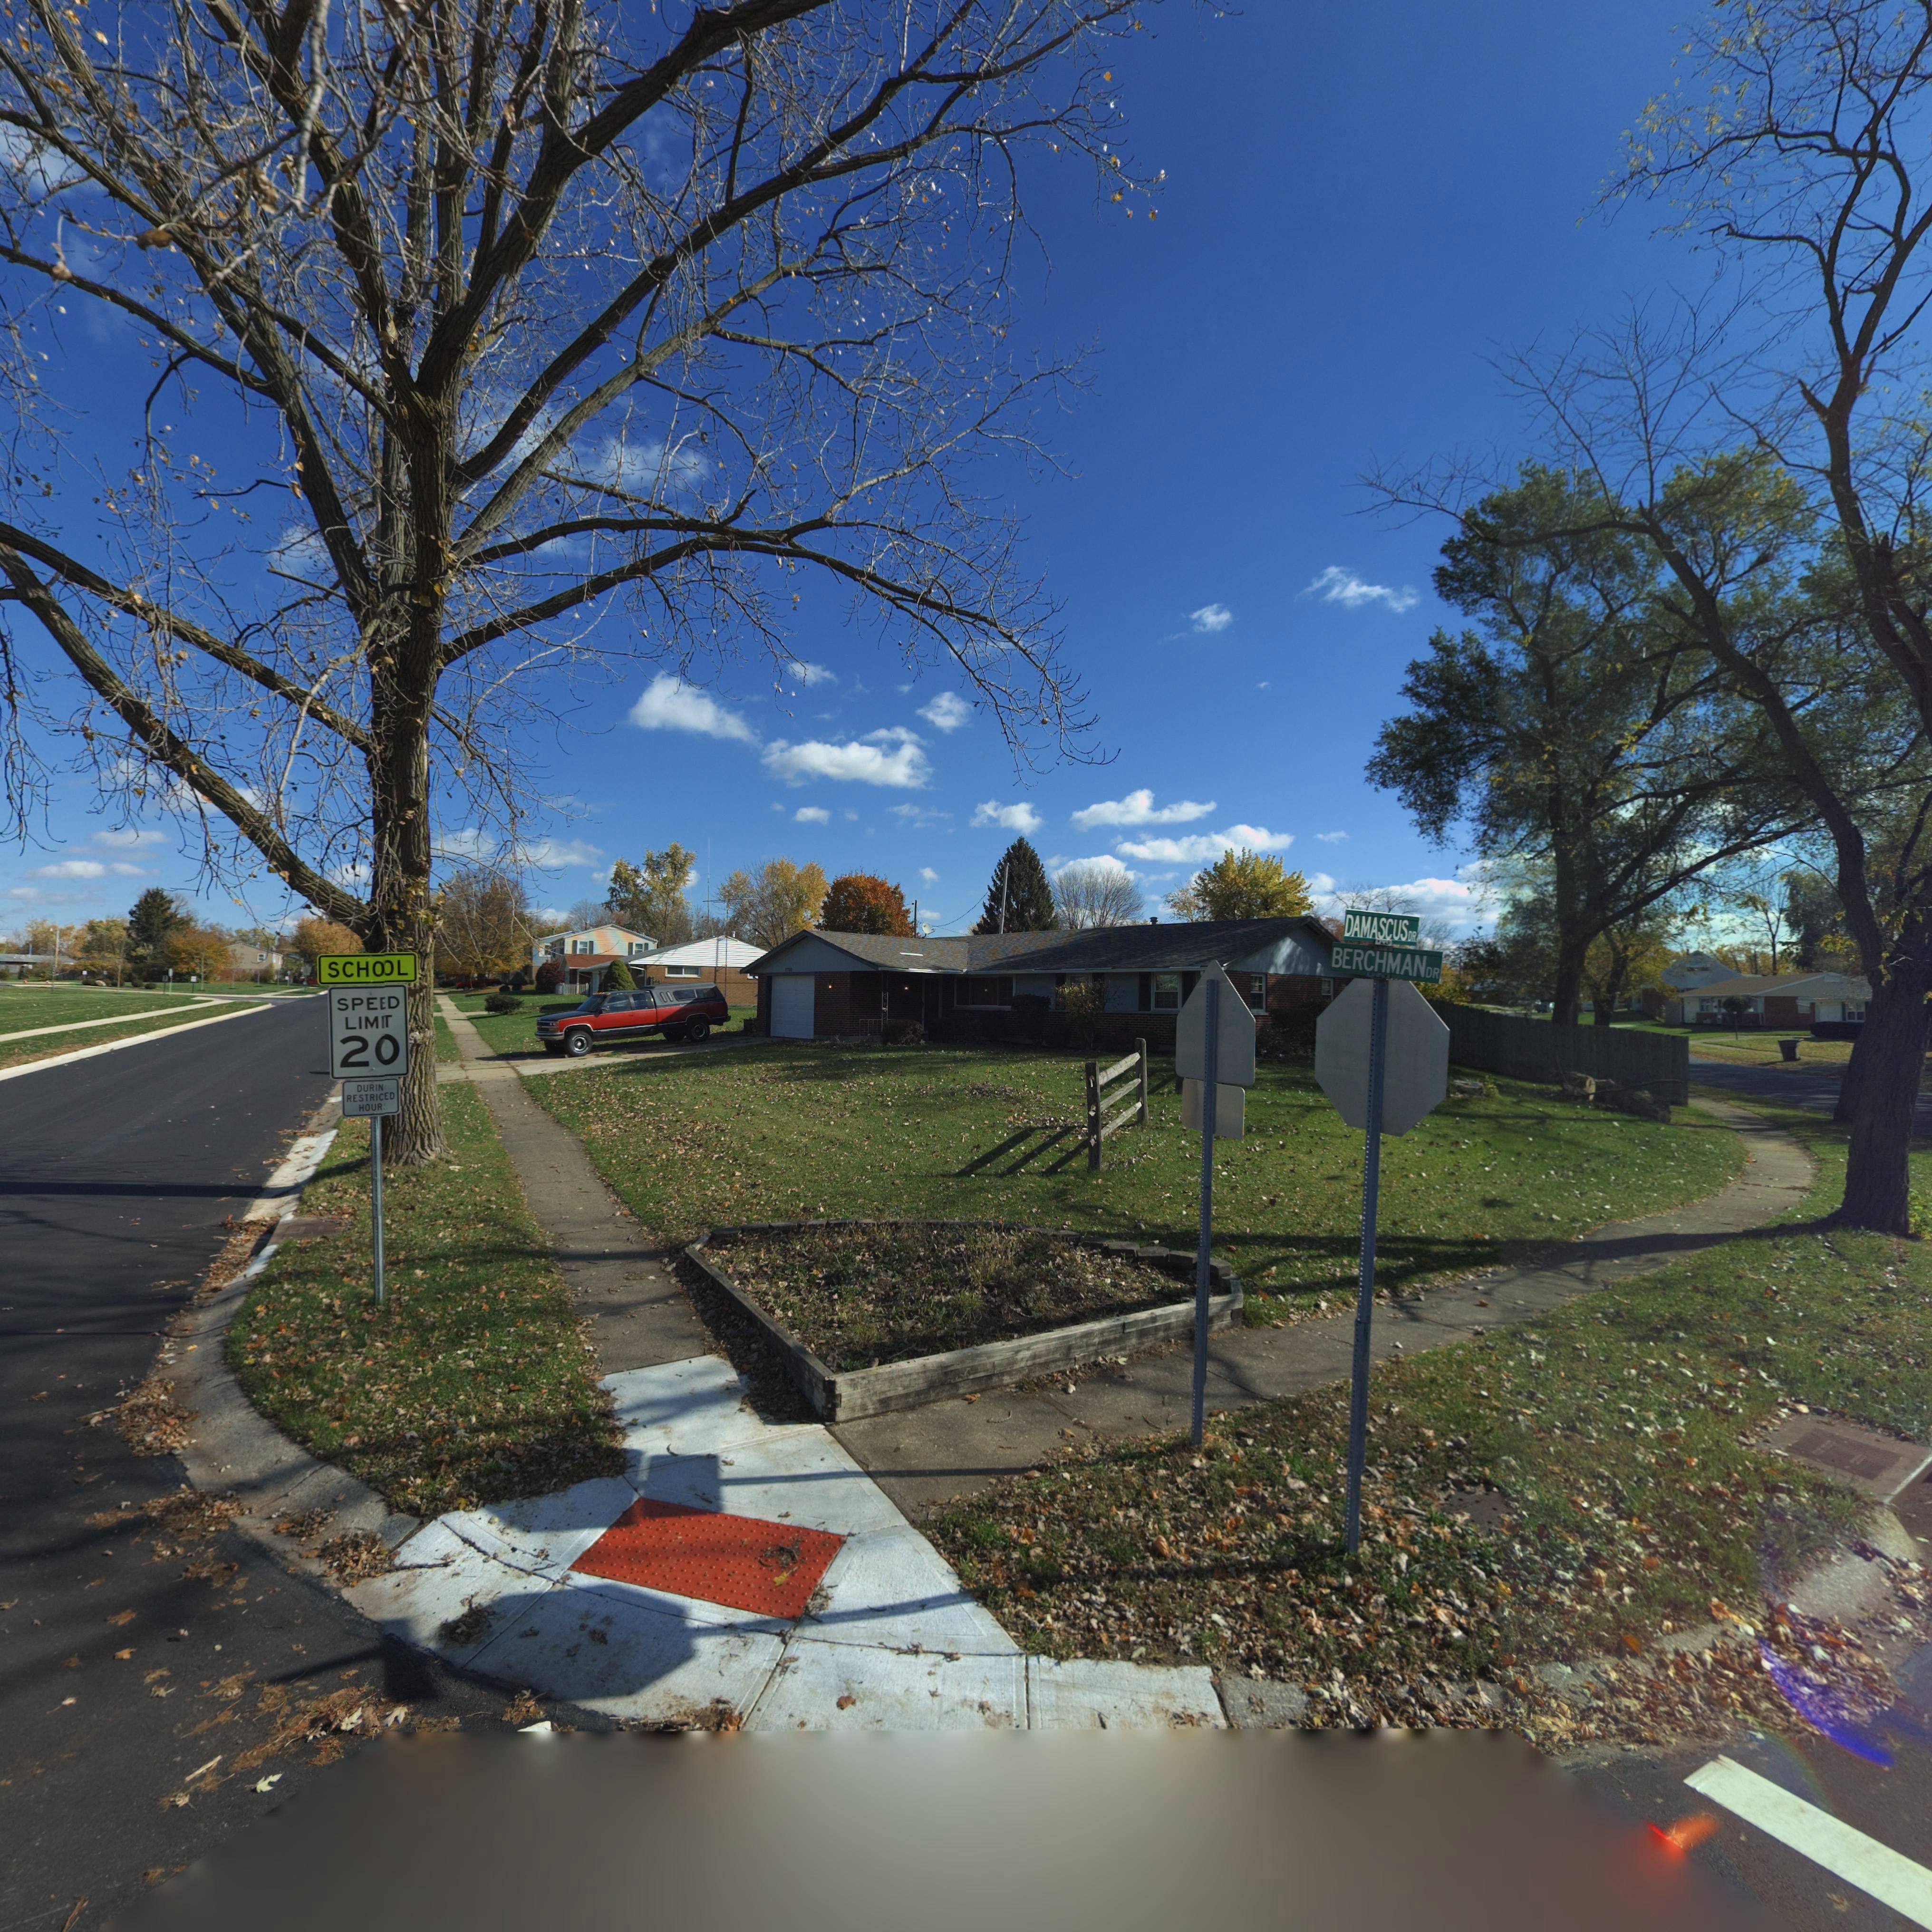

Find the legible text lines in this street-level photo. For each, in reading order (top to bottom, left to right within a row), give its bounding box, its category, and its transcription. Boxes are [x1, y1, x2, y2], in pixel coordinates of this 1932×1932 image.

[784, 967, 792, 973] StreetNumber: *700